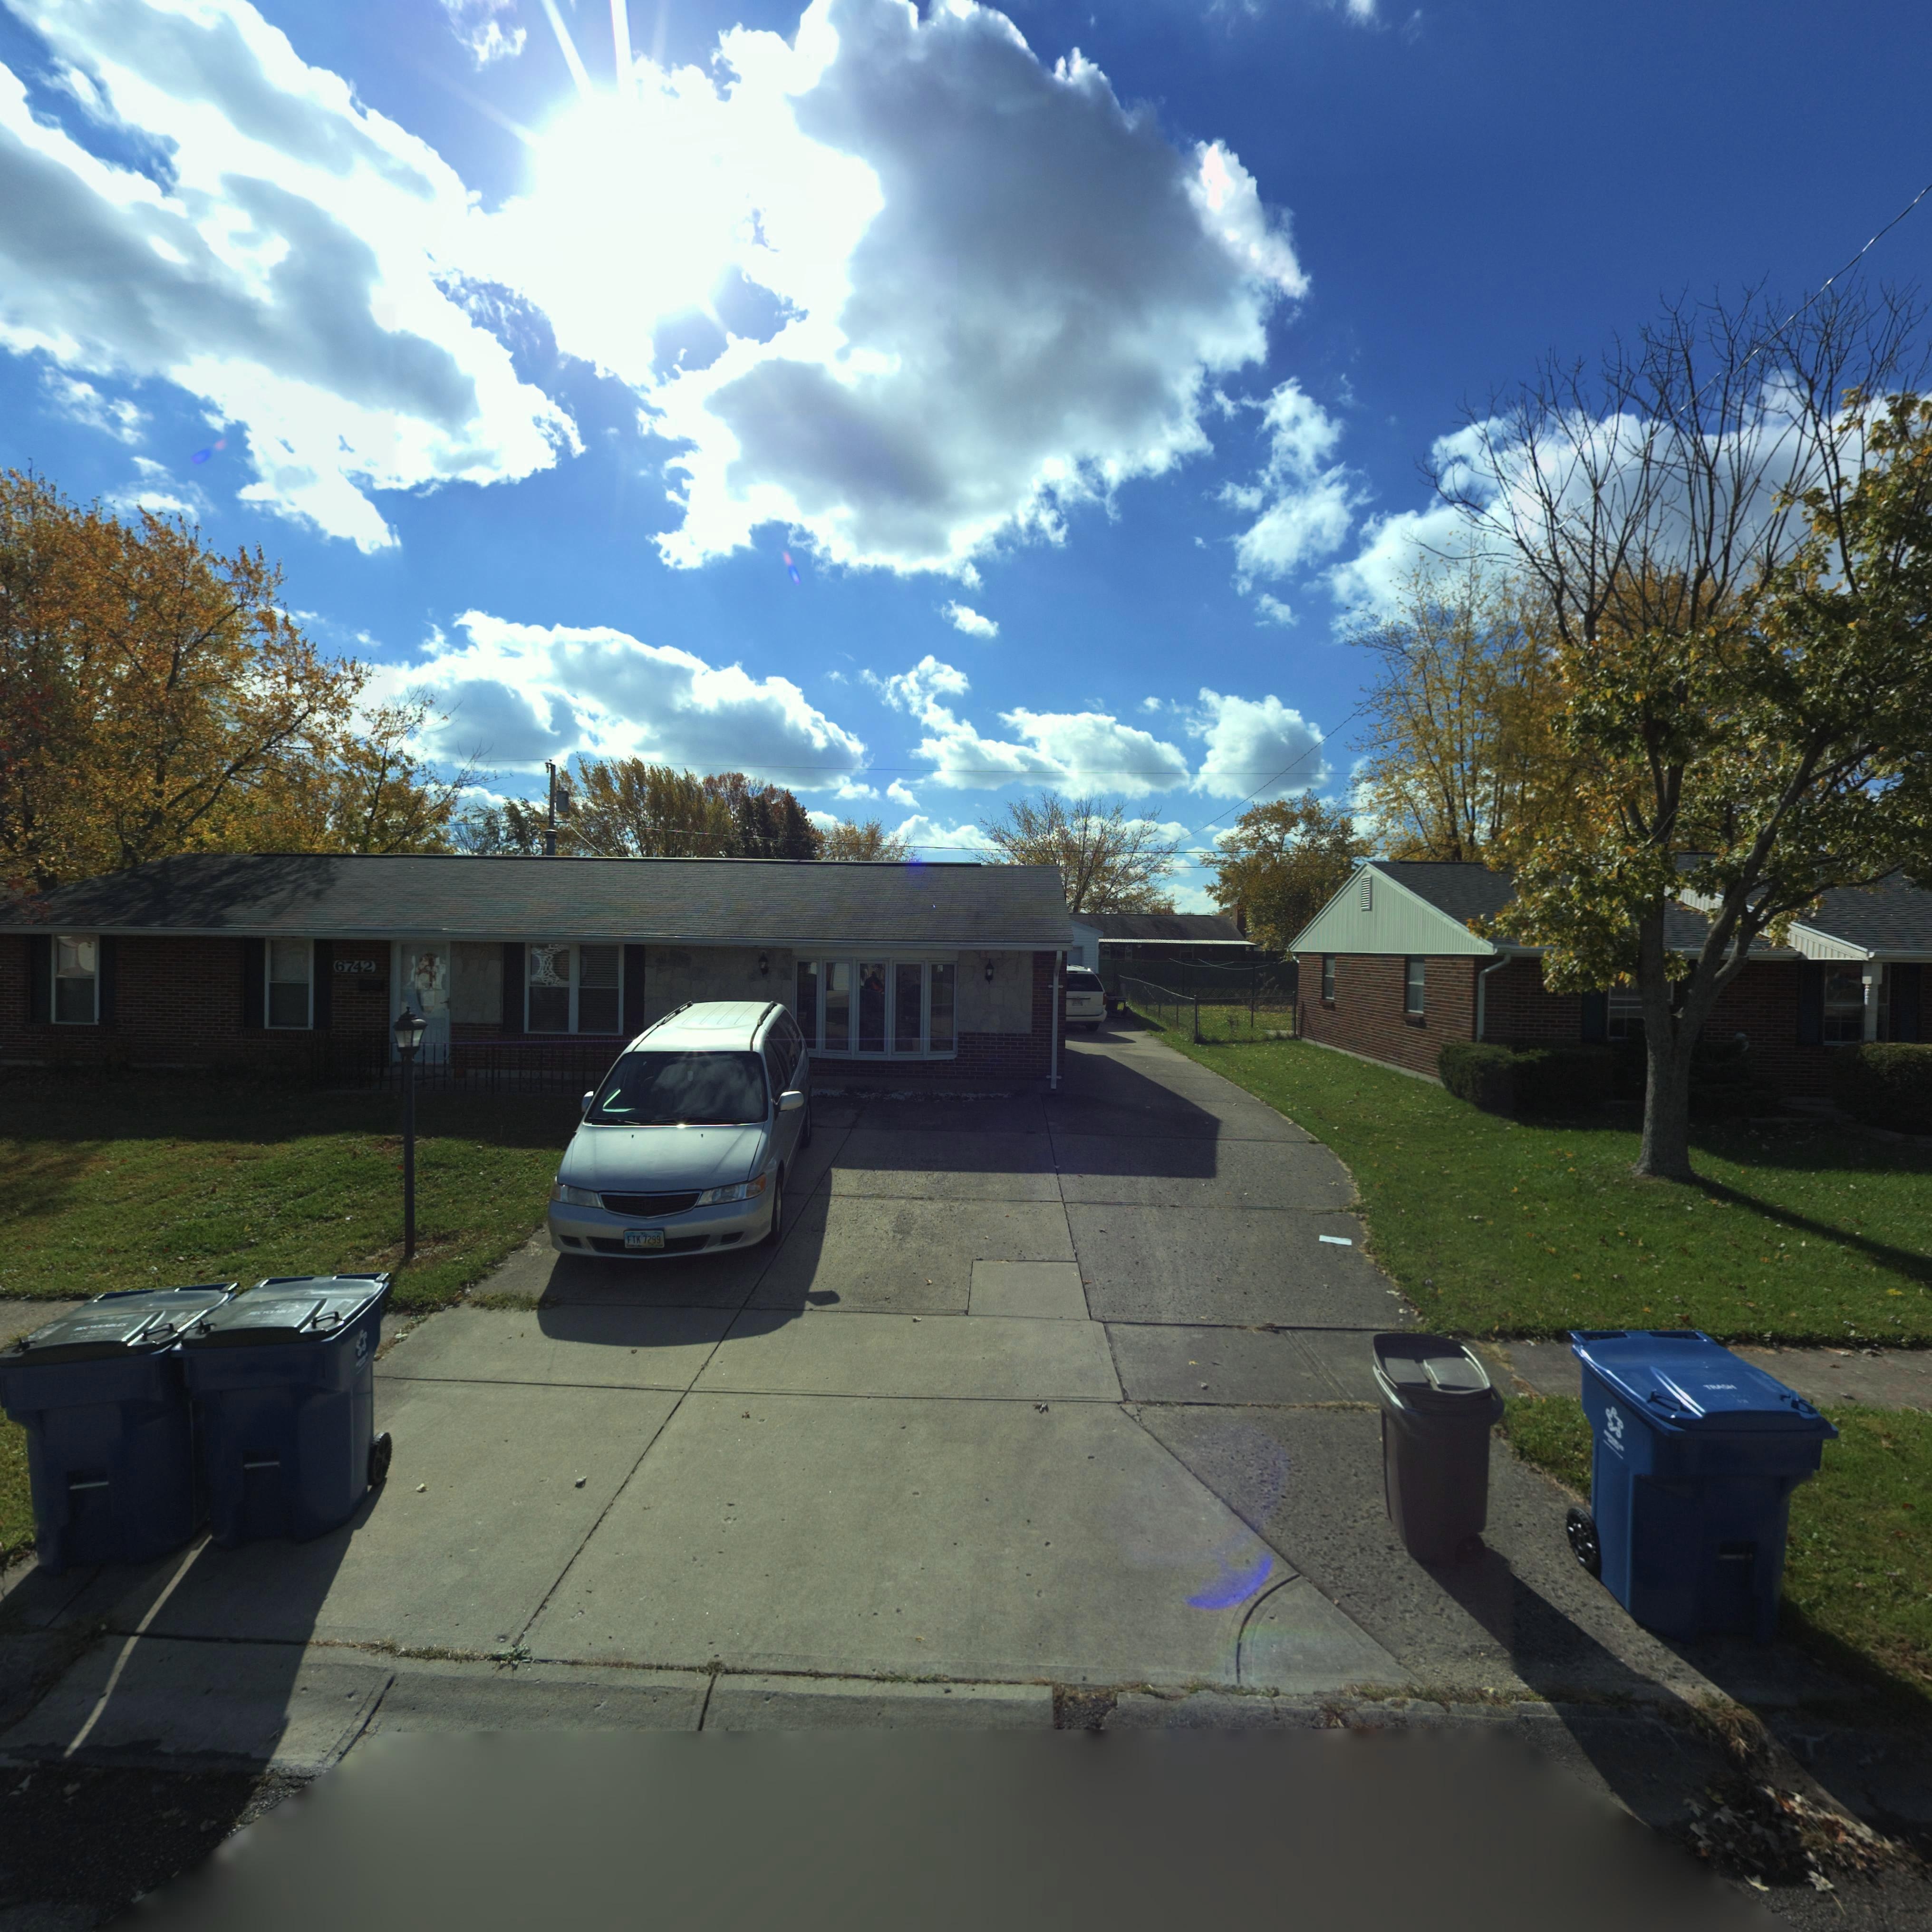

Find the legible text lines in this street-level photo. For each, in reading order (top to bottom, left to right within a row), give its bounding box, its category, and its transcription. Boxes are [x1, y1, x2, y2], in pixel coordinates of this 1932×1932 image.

[334, 960, 373, 973] StreetNumber: 6742